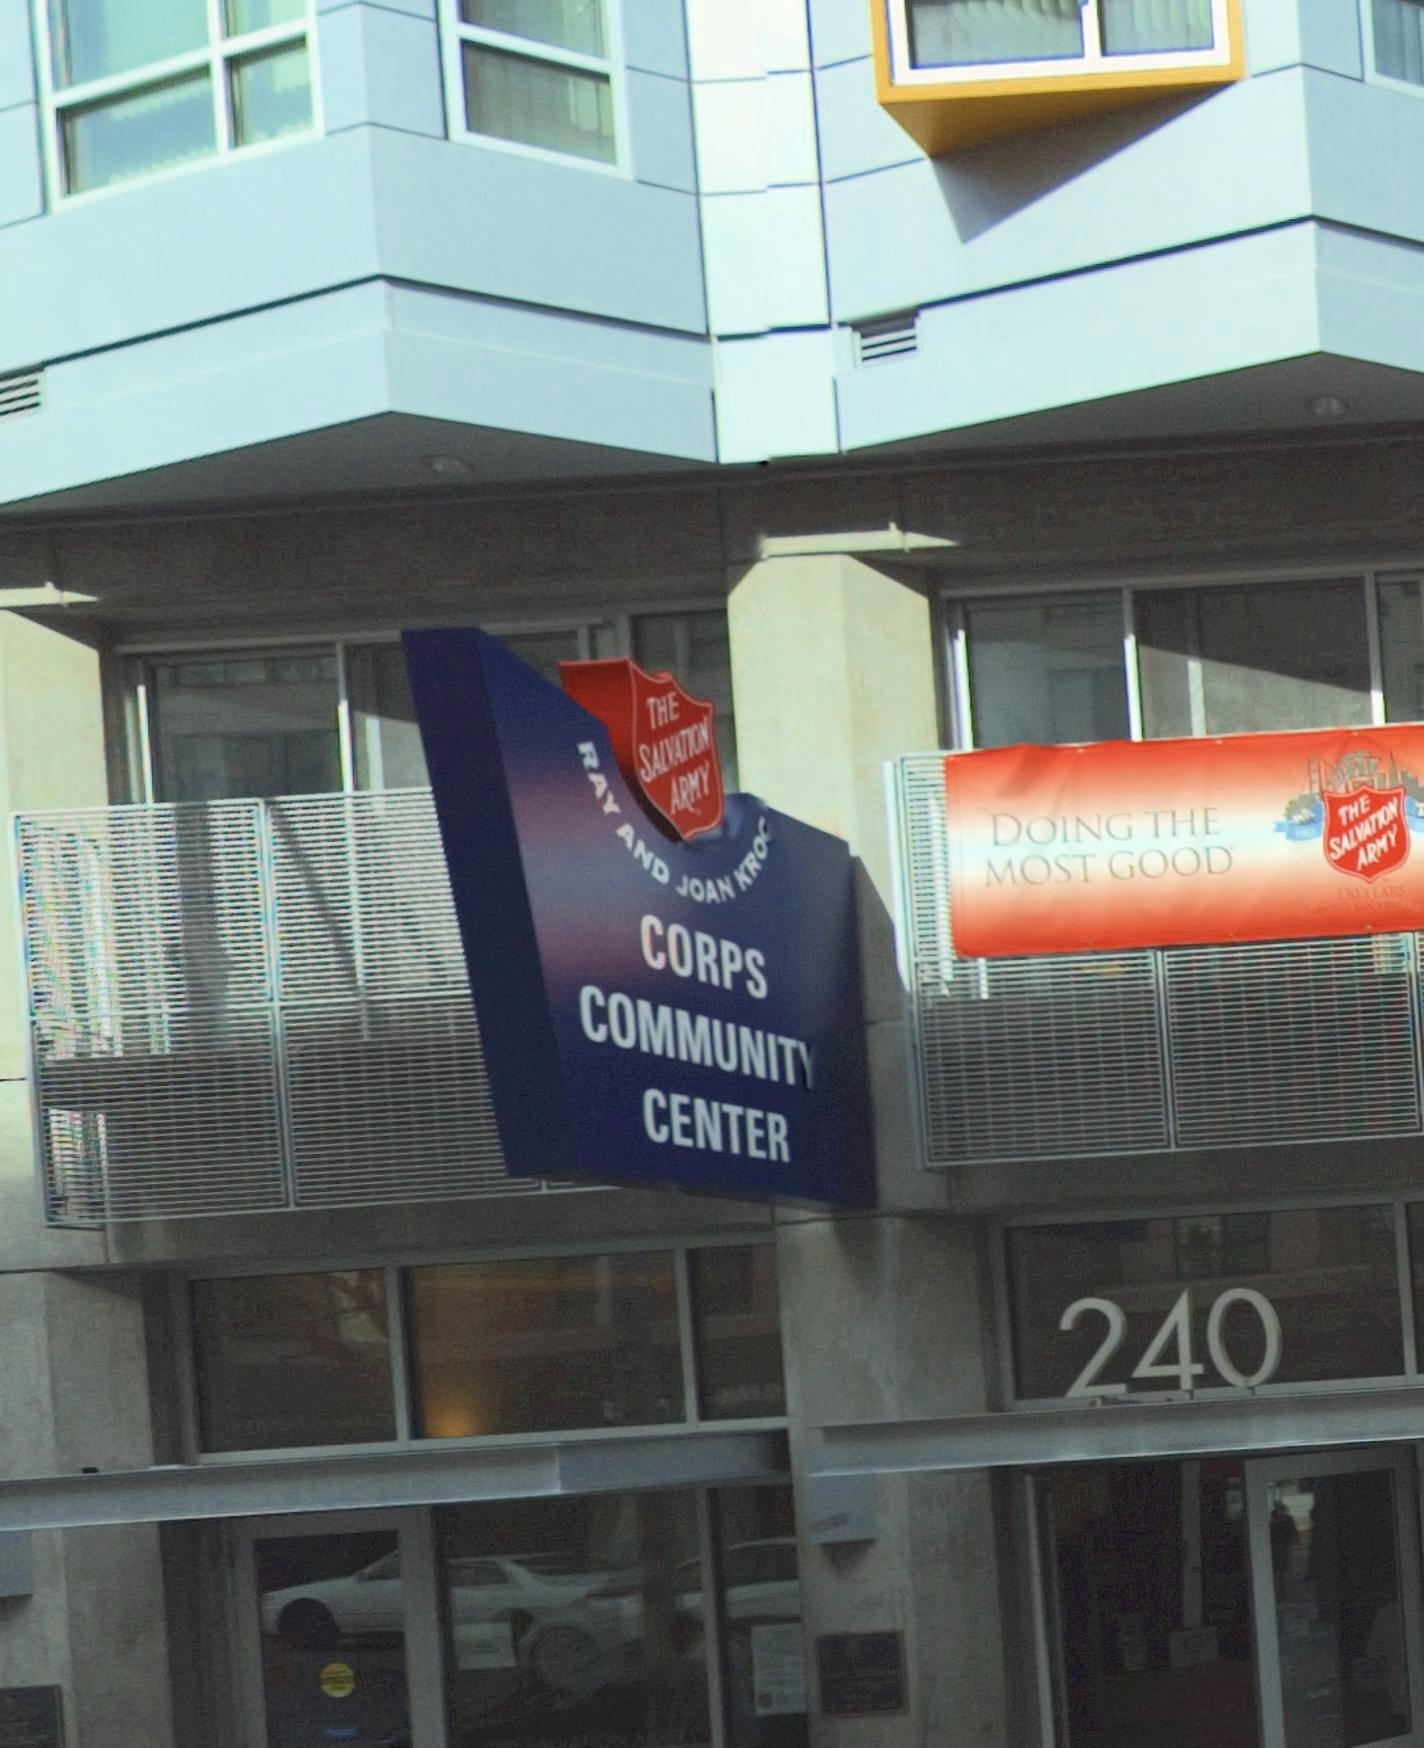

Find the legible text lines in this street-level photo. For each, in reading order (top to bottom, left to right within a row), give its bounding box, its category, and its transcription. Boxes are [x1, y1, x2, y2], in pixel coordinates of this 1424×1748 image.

[638, 686, 682, 734] BusinessName: THE
[566, 735, 778, 909] None: RAY AND JOAN KROC
[632, 709, 713, 789] BusinessName: SALVATION
[663, 755, 714, 818] BusinessName: ARMY
[986, 800, 1230, 850] None: DOING THE
[979, 839, 1240, 893] None: MOST GOOD
[1330, 787, 1373, 831] BusinessName: THE
[1324, 790, 1403, 866] BusinessName: SALVATION
[1332, 881, 1411, 905] None: 130 YEARS
[1353, 819, 1398, 879] BusinessName: ARMY
[634, 909, 772, 1008] BusinessName: CORPS
[570, 980, 821, 1095] BusinessName: COMMUNITY
[638, 1081, 795, 1167] BusinessName: CENTER
[1052, 1275, 1294, 1408] StreetNumber: 240